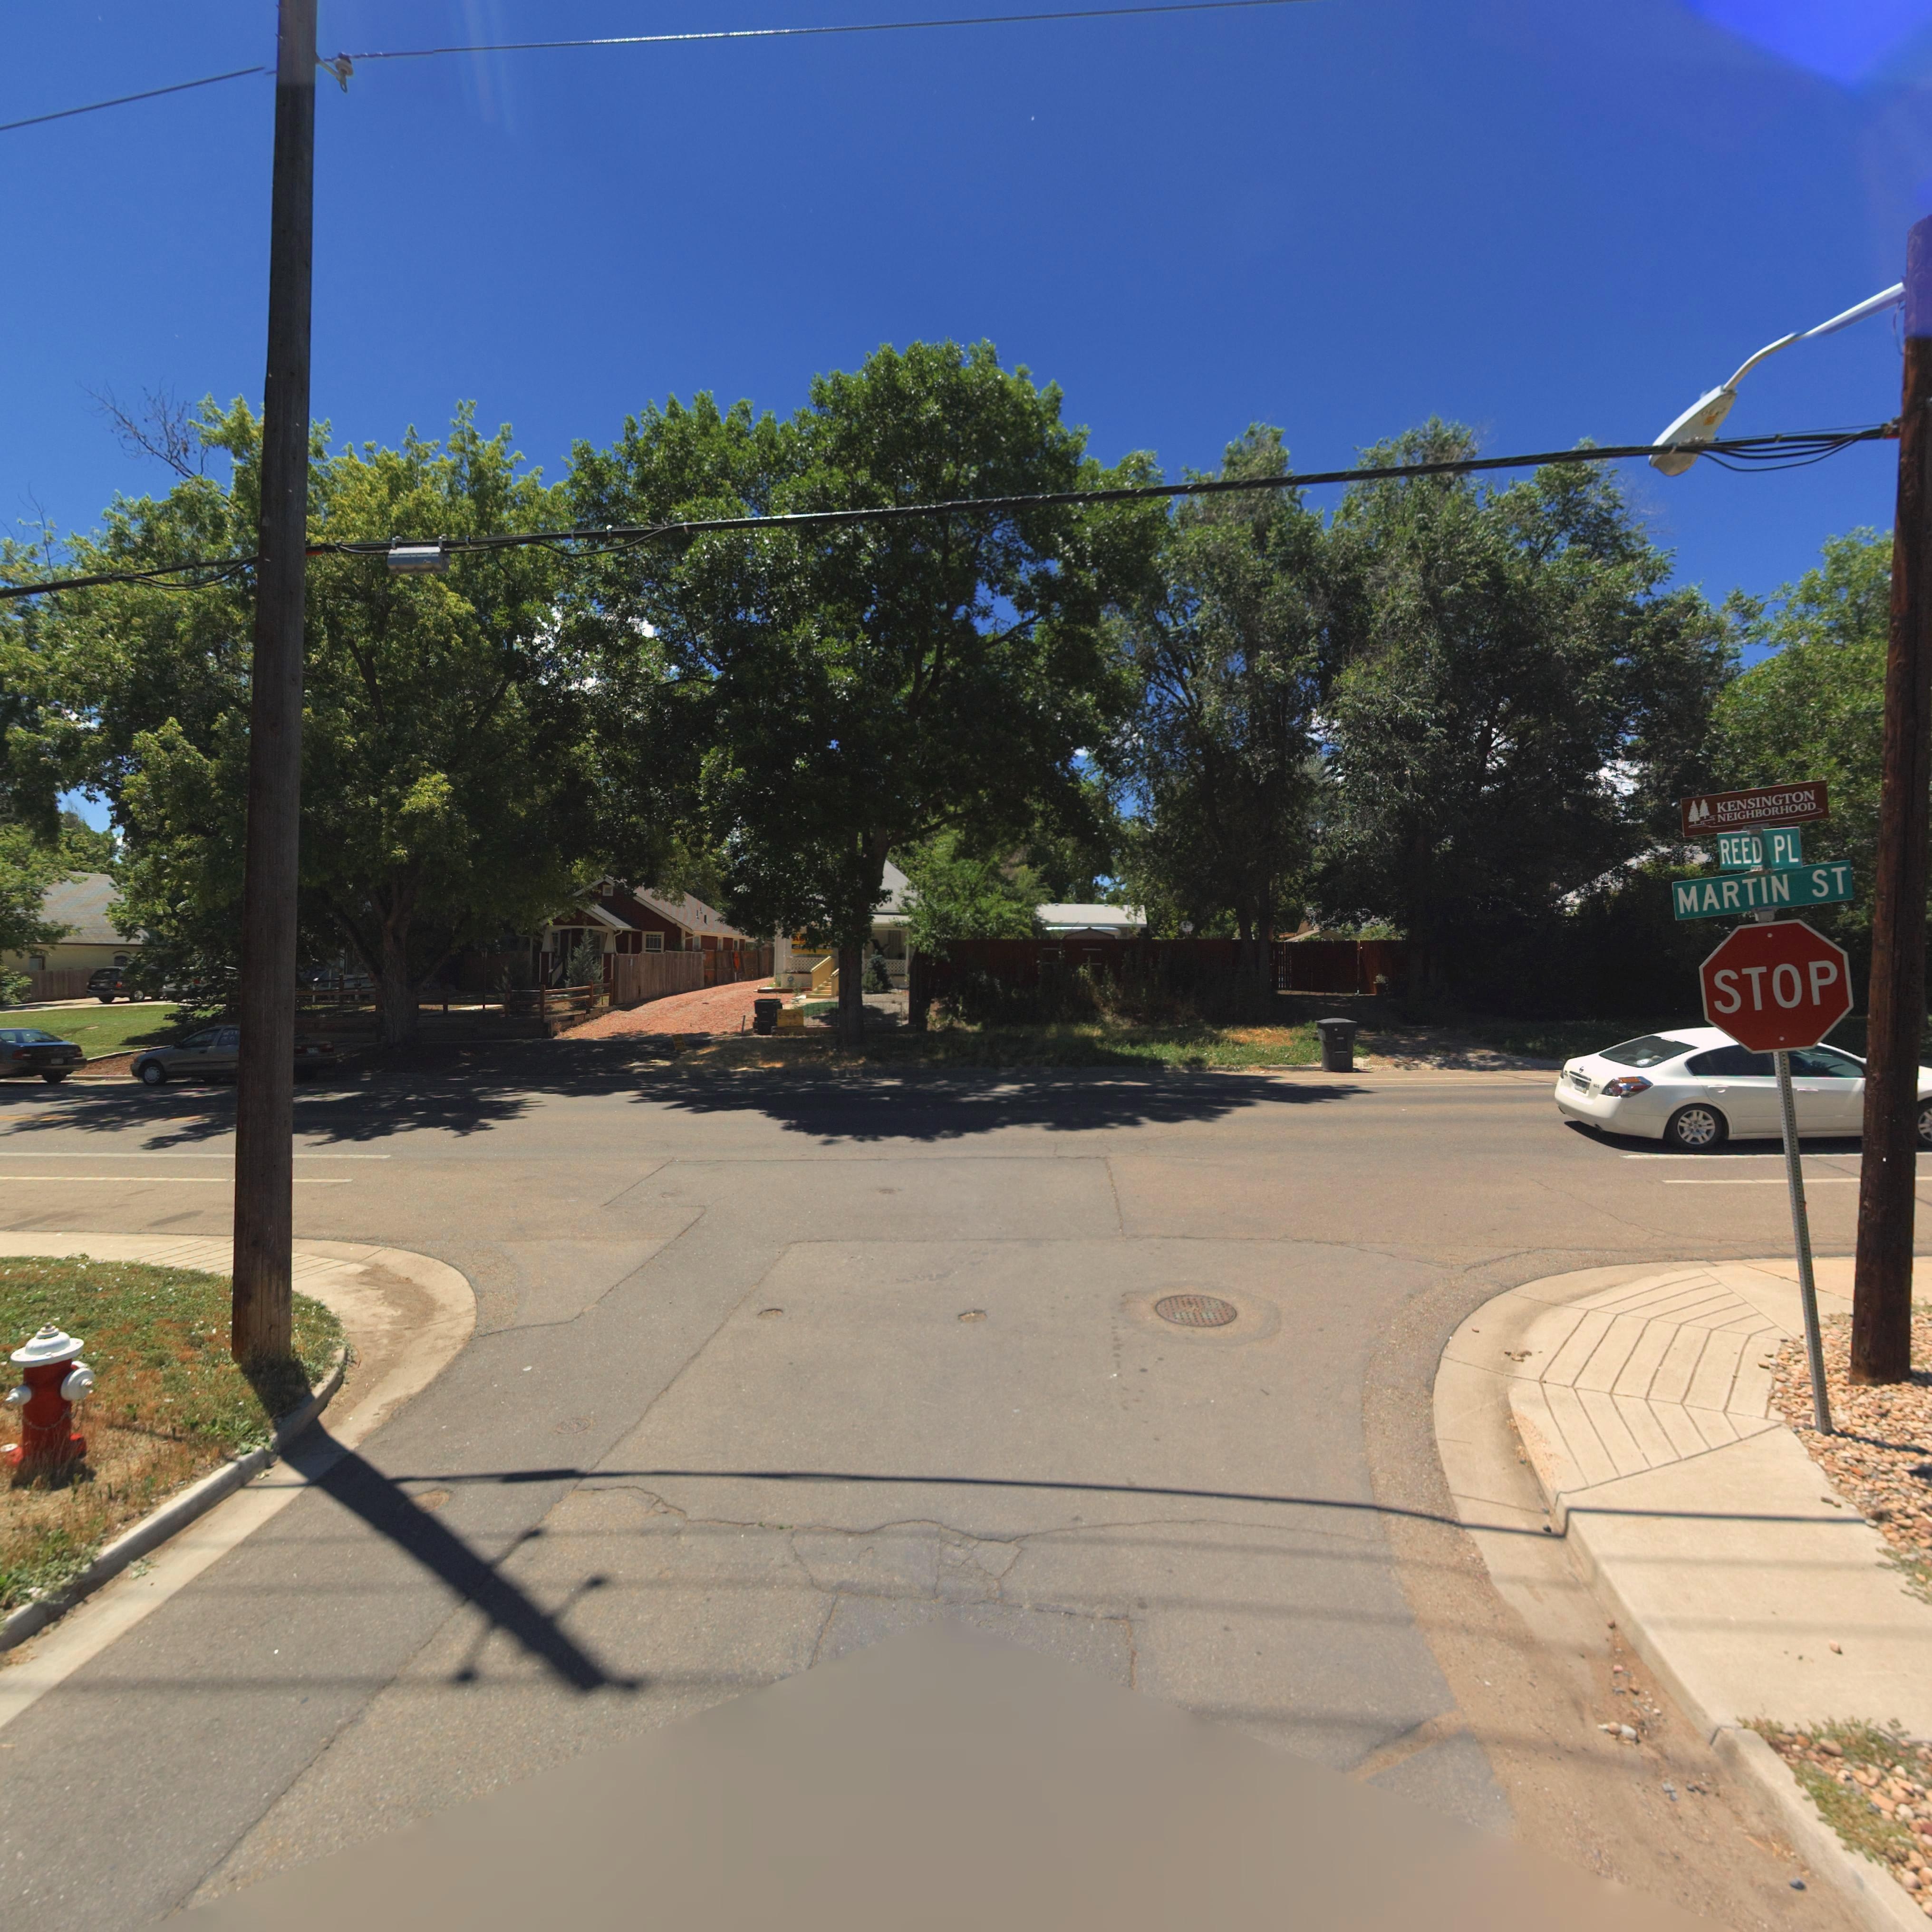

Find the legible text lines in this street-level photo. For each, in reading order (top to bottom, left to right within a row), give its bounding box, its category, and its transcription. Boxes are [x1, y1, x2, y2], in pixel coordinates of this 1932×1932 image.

[1719, 833, 1800, 865] StreetName: REED PL
[1676, 866, 1847, 915] StreetName: MARTIN ST